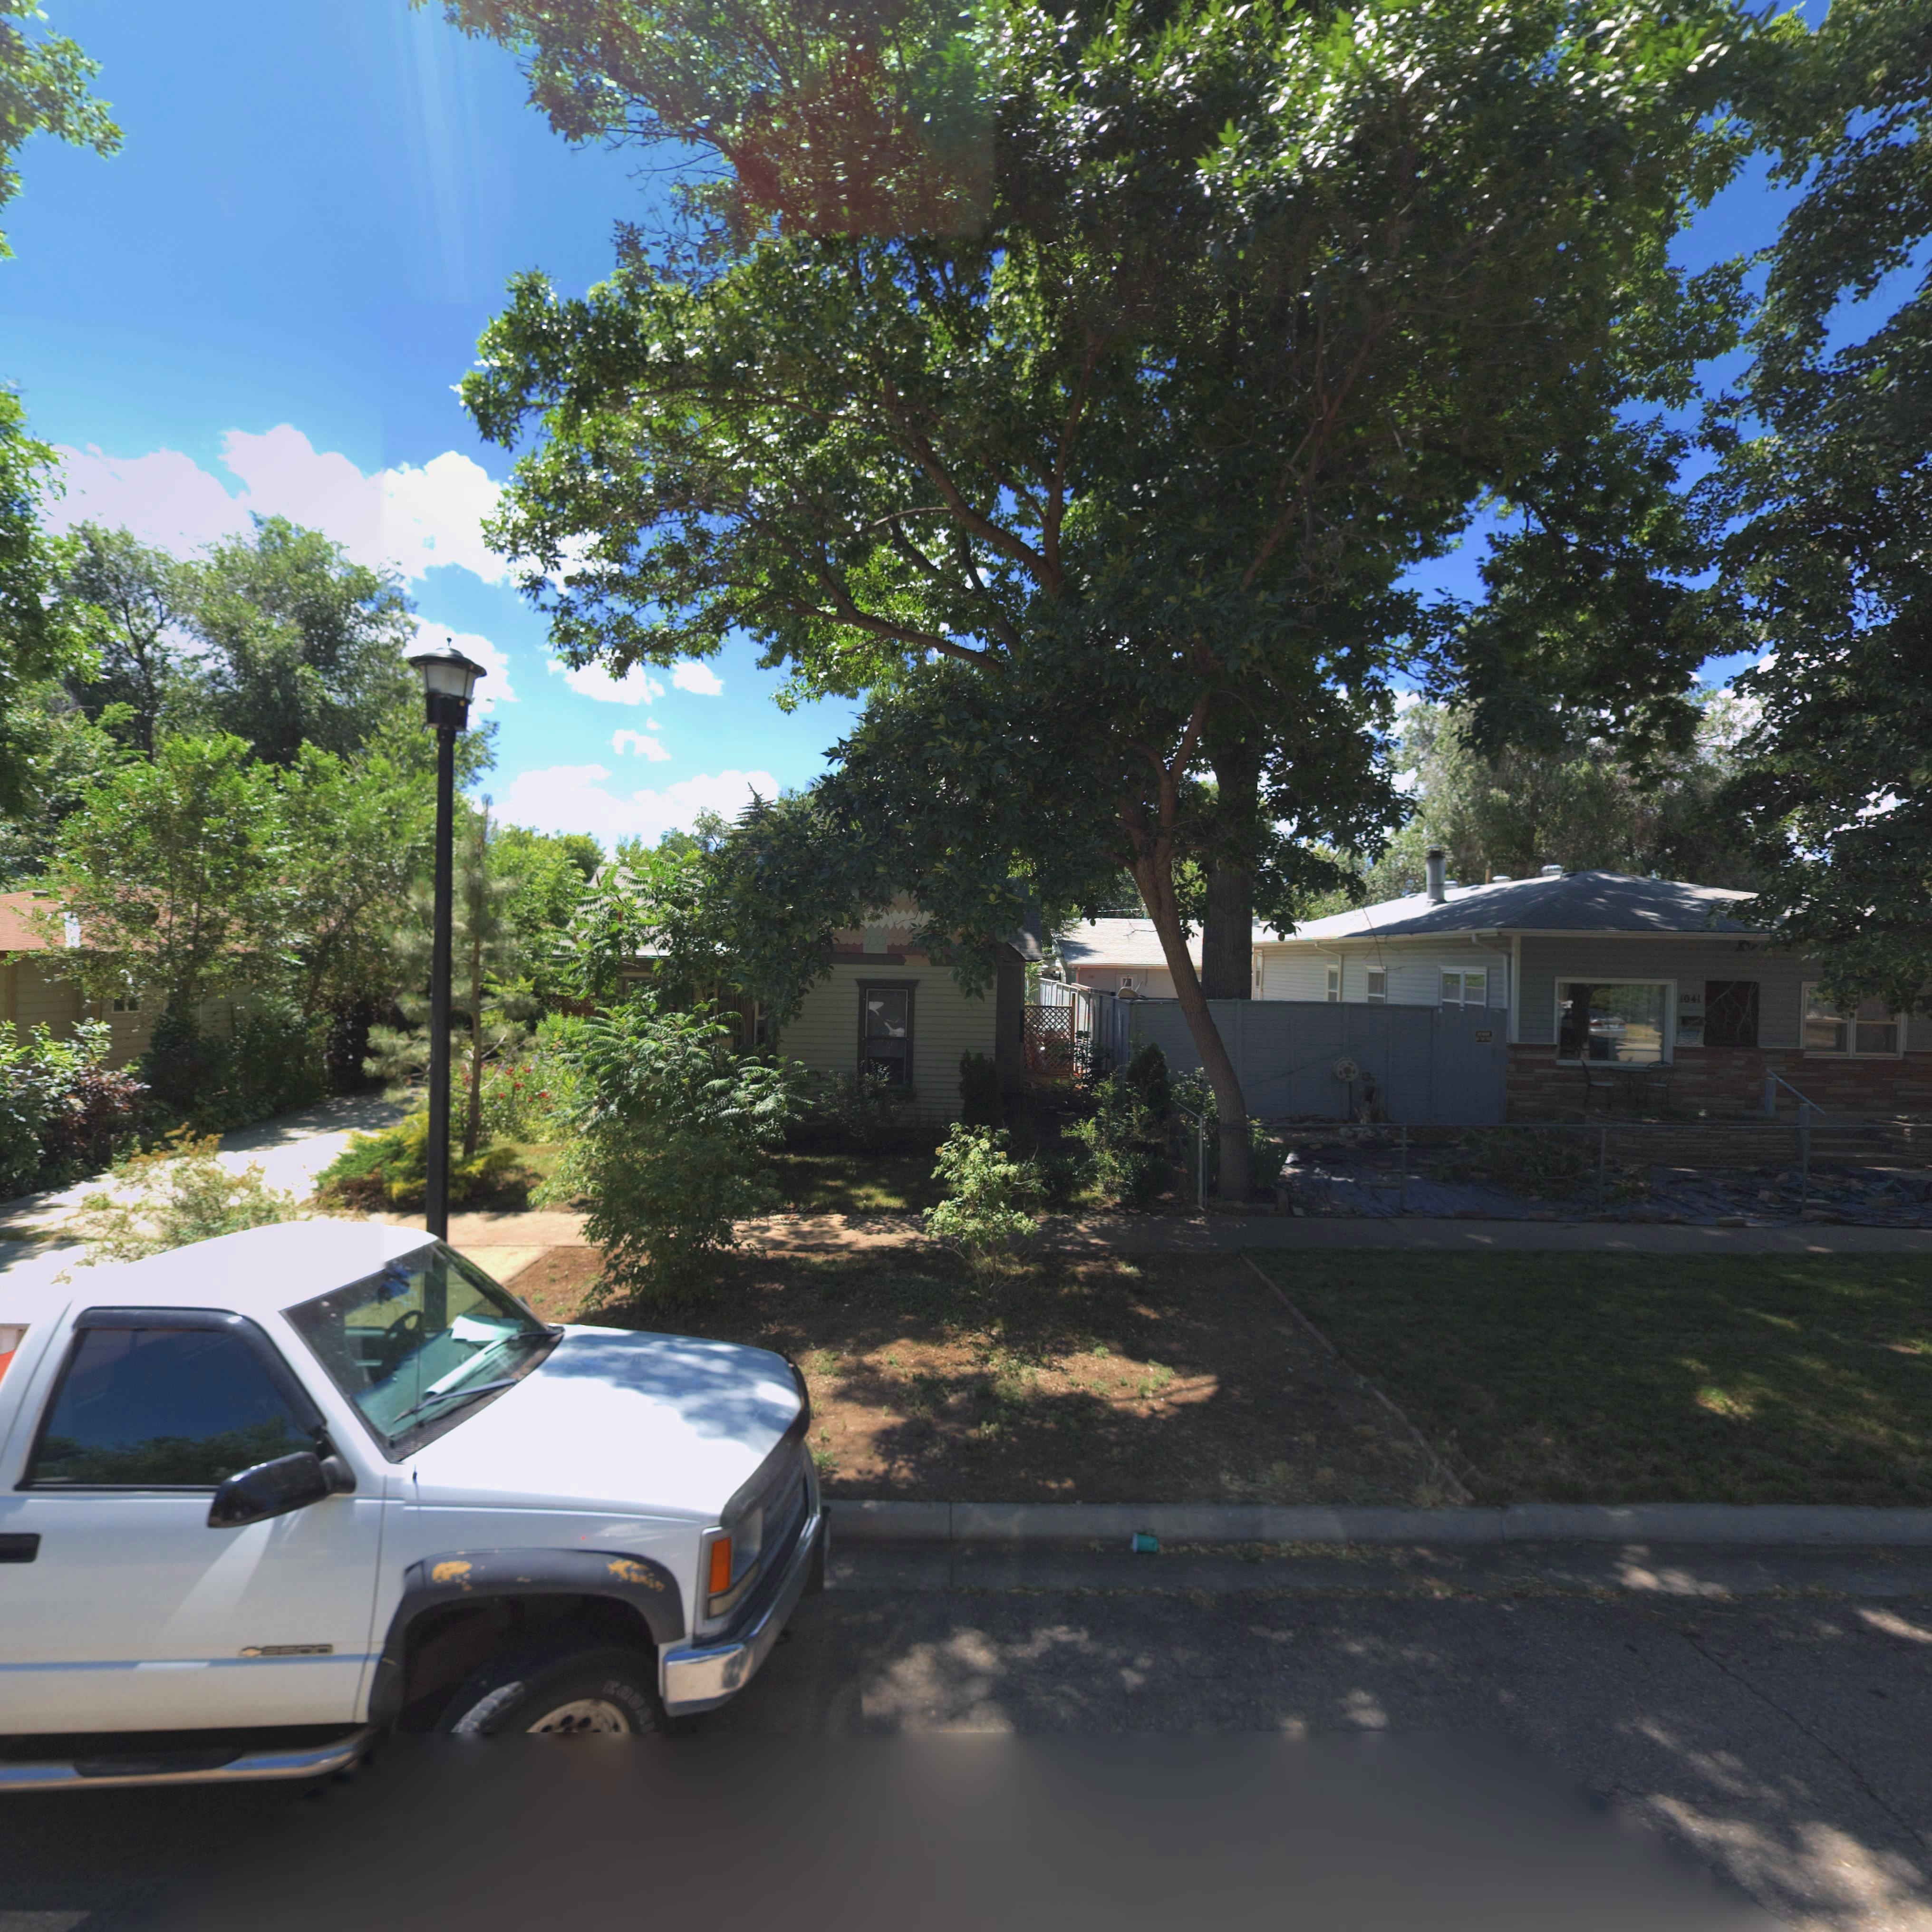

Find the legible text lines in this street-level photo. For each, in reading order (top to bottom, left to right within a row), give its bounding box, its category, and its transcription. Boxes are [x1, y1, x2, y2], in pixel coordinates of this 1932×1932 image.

[1679, 995, 1702, 1004] StreetNumber: 1041